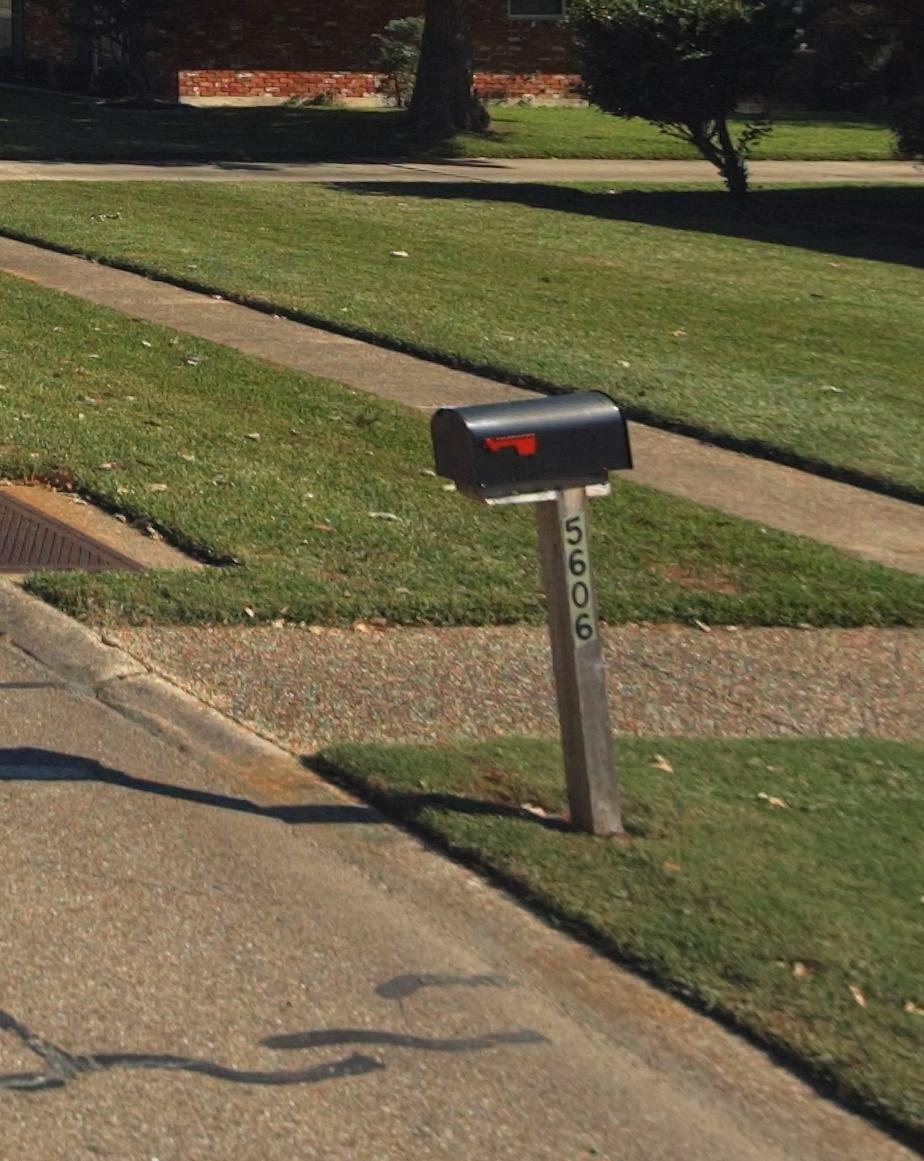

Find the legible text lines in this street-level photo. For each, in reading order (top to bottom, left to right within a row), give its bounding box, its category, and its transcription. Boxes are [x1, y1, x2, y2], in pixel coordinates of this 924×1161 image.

[561, 511, 596, 644] StreetNumber: 5606